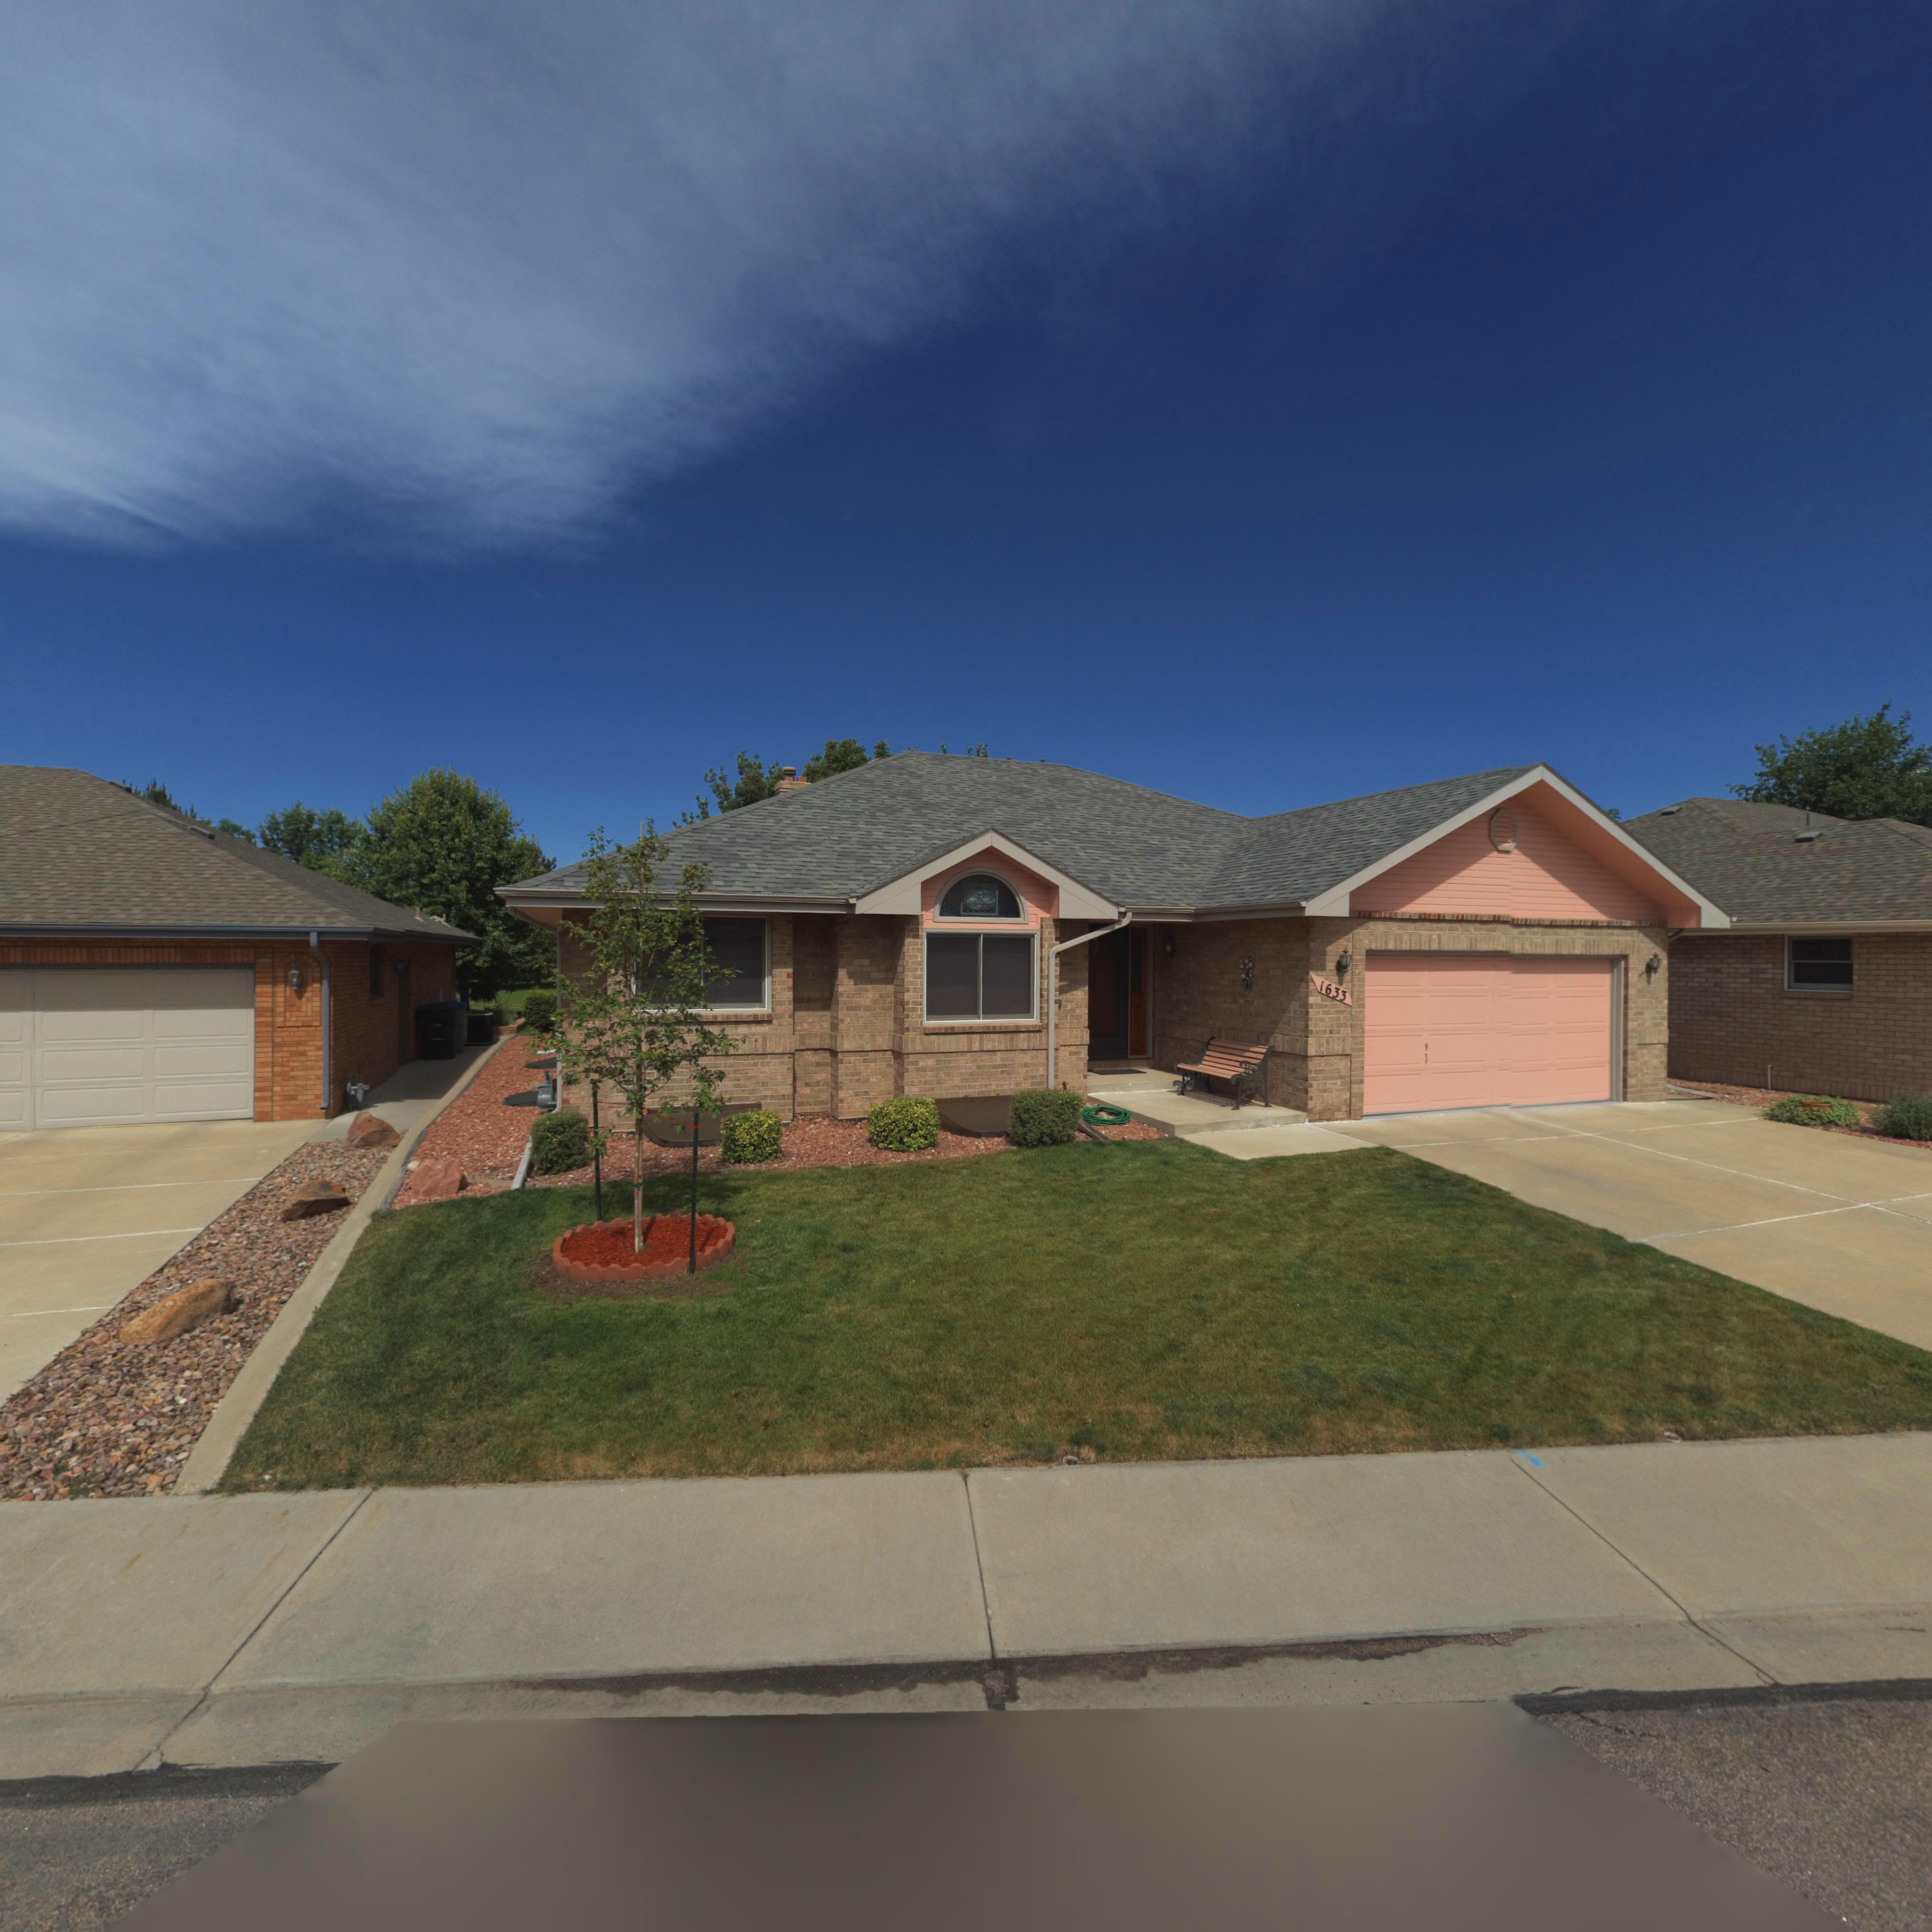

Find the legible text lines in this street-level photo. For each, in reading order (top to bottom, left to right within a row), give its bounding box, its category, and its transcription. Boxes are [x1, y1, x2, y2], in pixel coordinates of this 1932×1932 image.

[1319, 979, 1347, 1002] StreetNumber: 1633